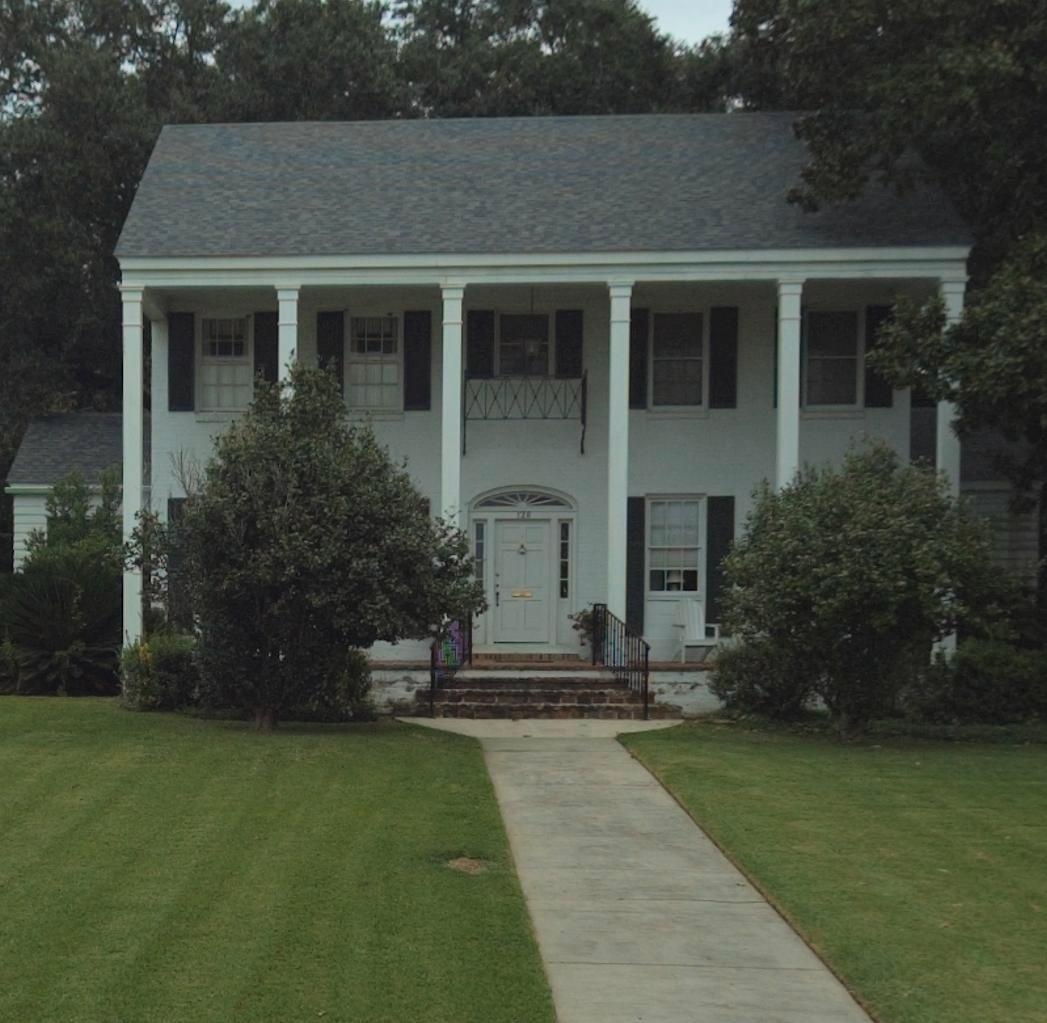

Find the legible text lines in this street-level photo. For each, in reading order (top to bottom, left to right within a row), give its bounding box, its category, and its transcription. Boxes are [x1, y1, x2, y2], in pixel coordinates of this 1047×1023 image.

[515, 511, 531, 519] StreetNumber: 128